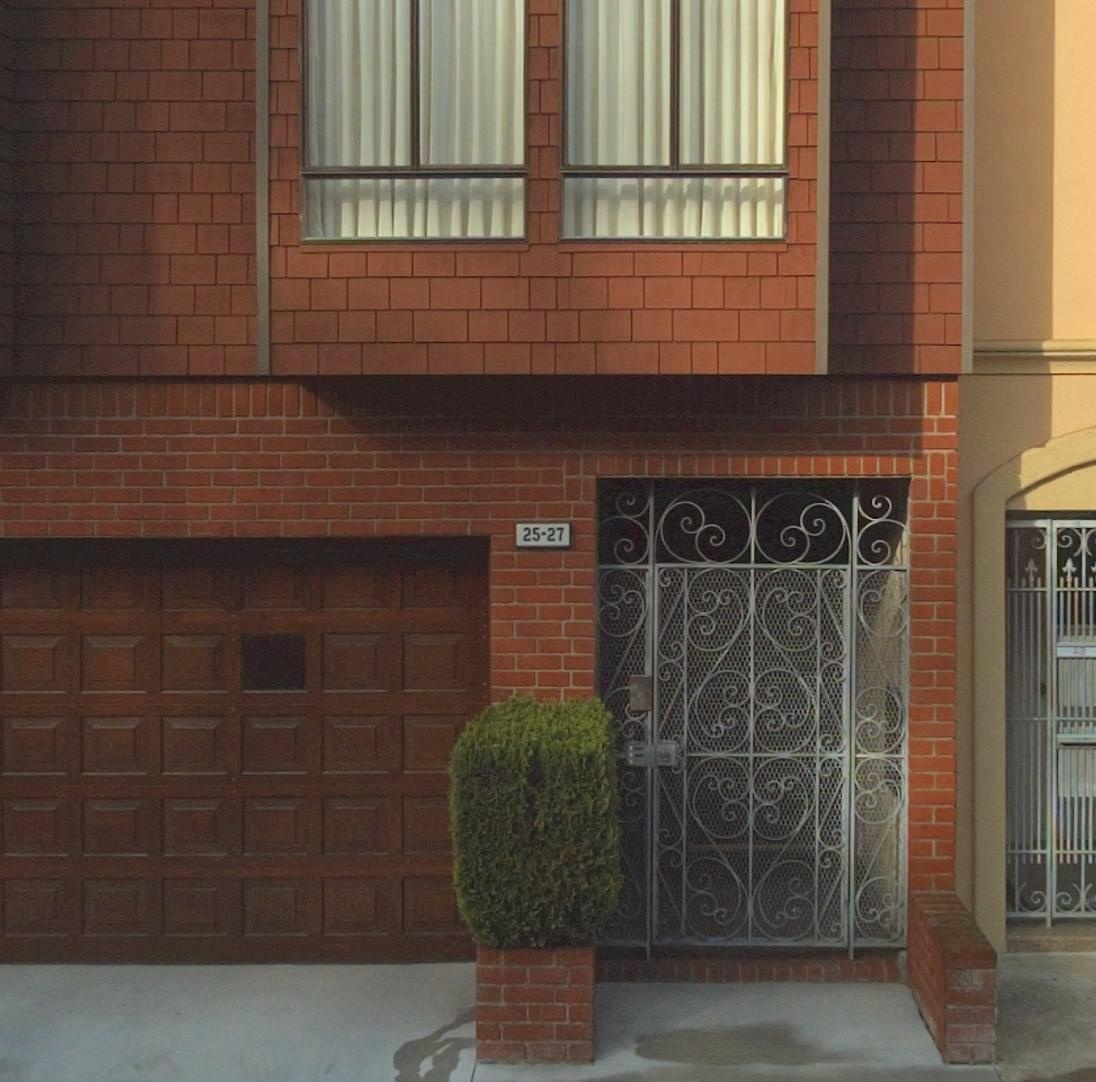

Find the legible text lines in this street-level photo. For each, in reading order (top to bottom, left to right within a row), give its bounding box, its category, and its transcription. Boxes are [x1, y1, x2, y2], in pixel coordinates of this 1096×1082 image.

[521, 524, 566, 544] StreetNumber: 25-27